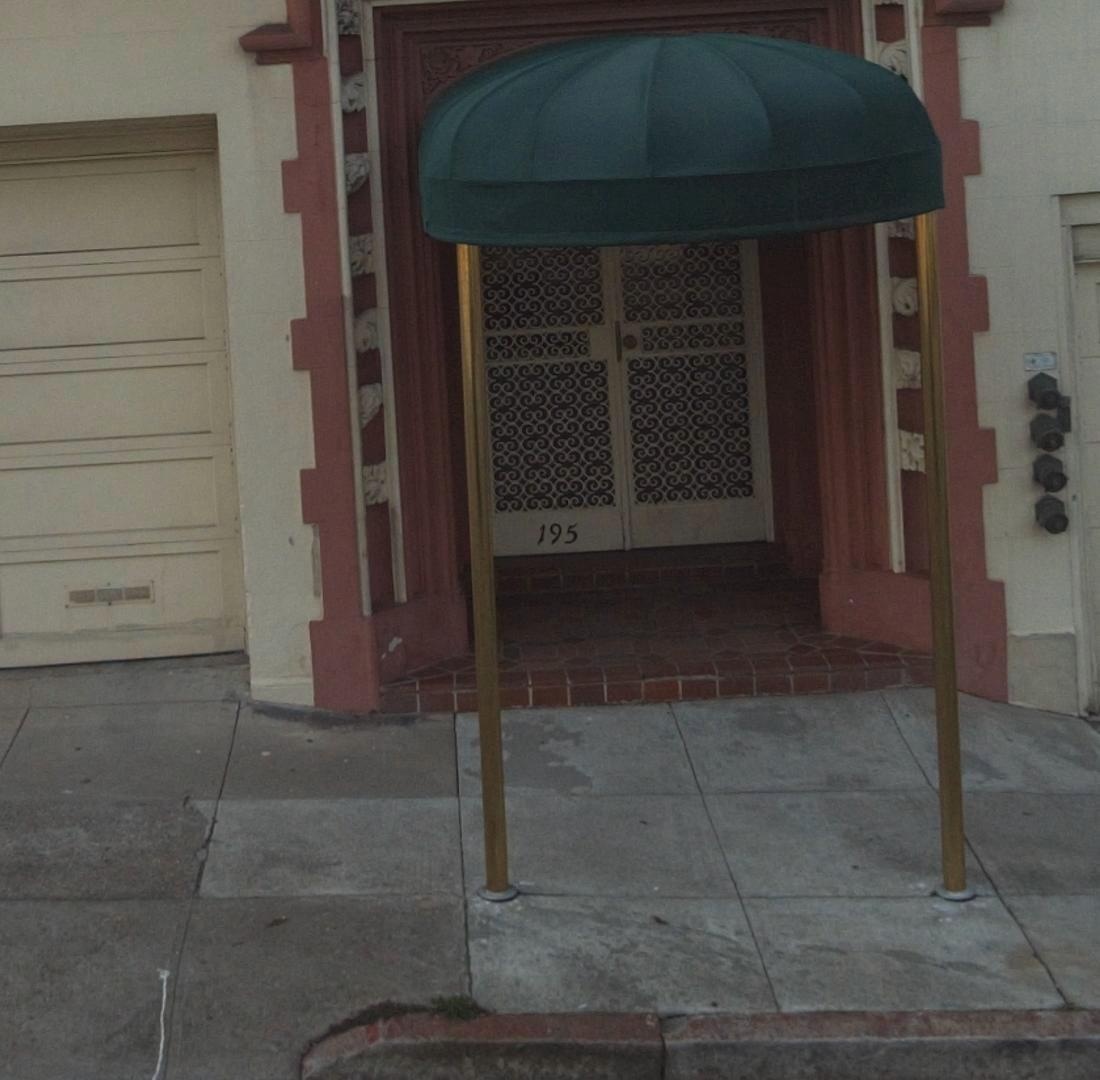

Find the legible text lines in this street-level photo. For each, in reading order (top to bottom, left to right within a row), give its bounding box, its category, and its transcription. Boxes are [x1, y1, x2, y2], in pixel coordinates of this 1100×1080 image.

[536, 522, 579, 546] StreetNumber: 195